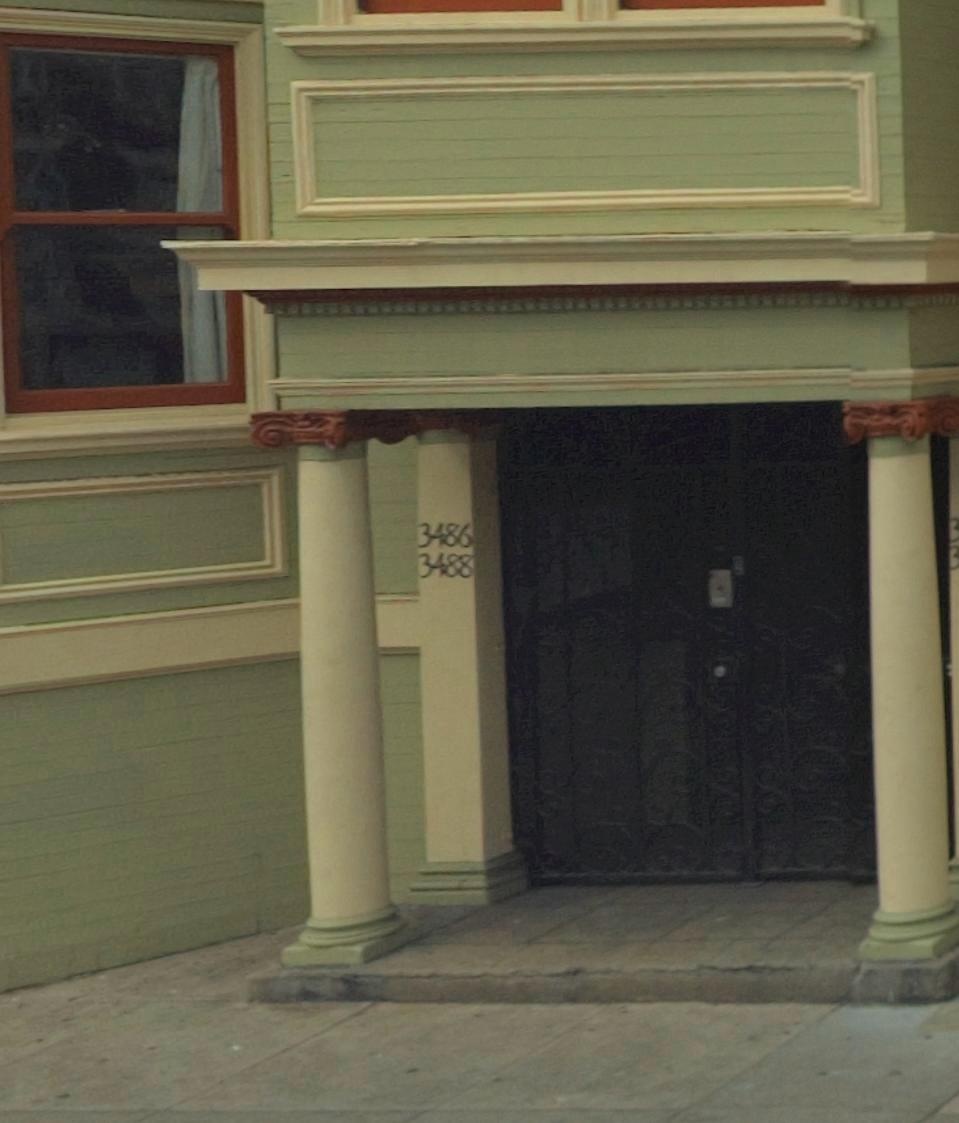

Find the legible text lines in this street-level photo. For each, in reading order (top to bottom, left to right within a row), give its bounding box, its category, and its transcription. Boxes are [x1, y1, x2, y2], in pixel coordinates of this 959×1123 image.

[417, 521, 473, 549] StreetNumber: 3486
[417, 552, 474, 579] StreetNumber: 3488